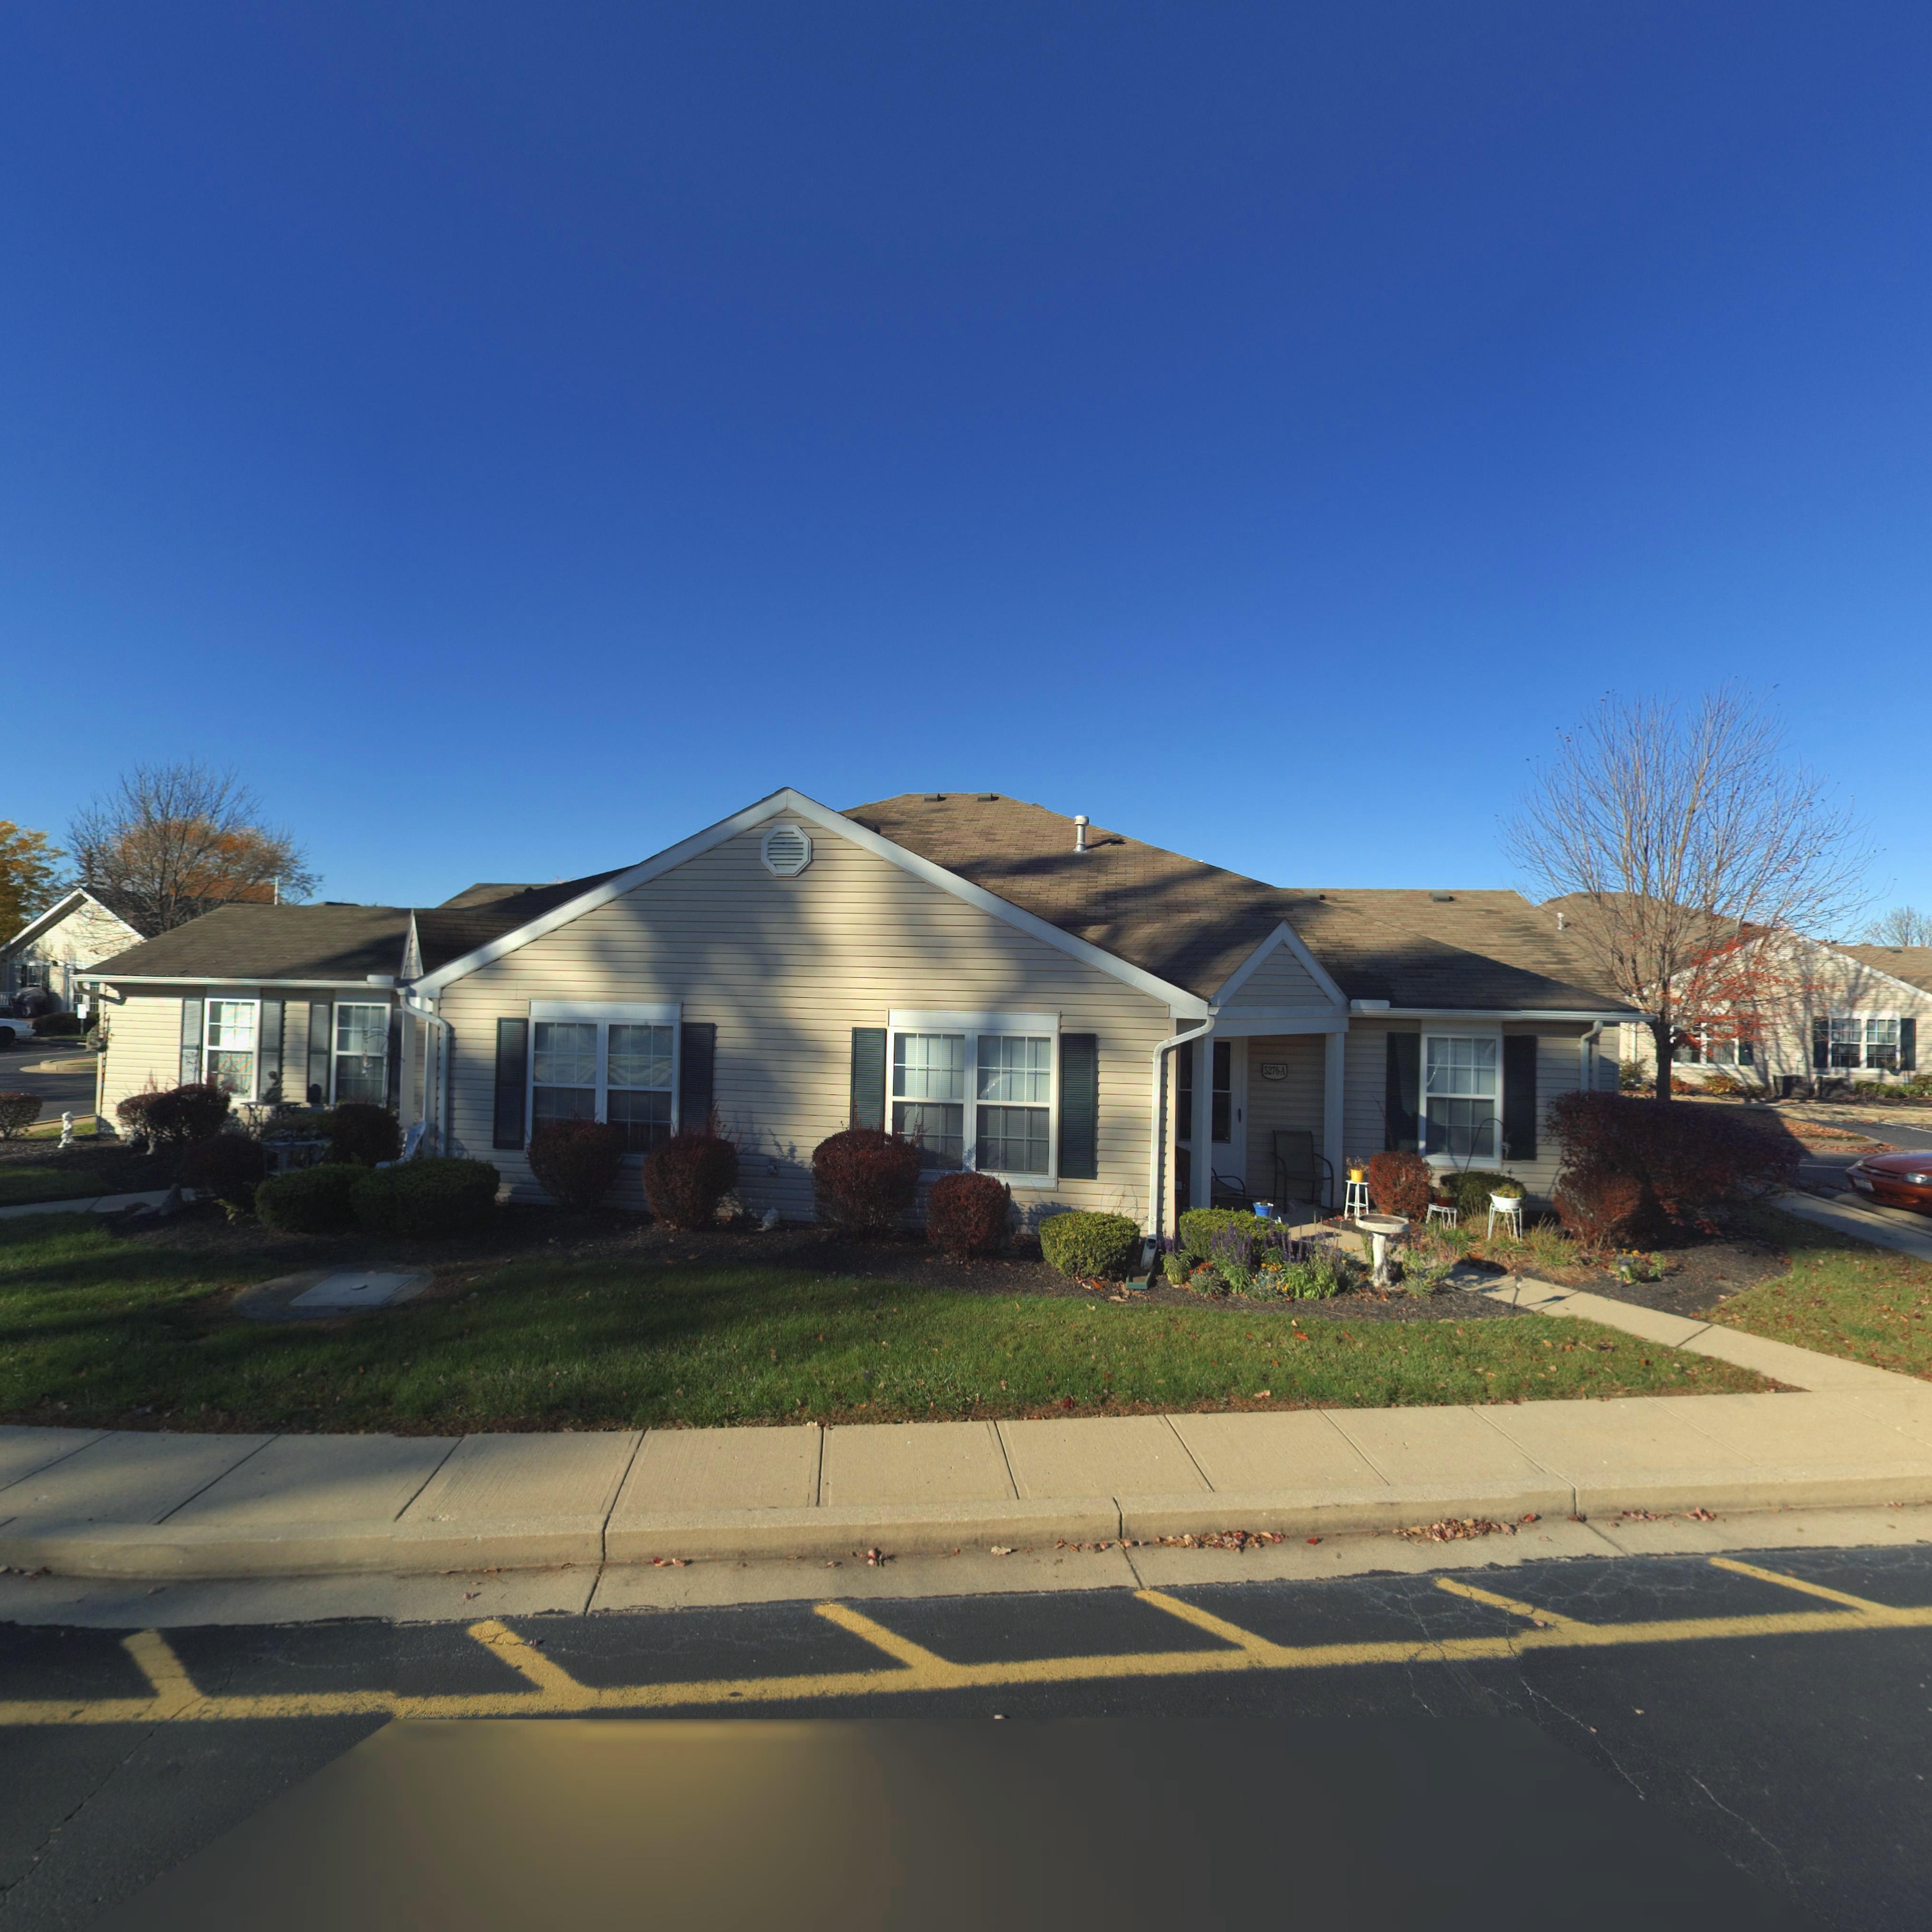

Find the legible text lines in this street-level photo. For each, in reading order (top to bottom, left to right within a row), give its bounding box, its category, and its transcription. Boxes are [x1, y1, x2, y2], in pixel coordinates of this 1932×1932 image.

[1264, 1064, 1286, 1077] StreetNumber: 5276-A